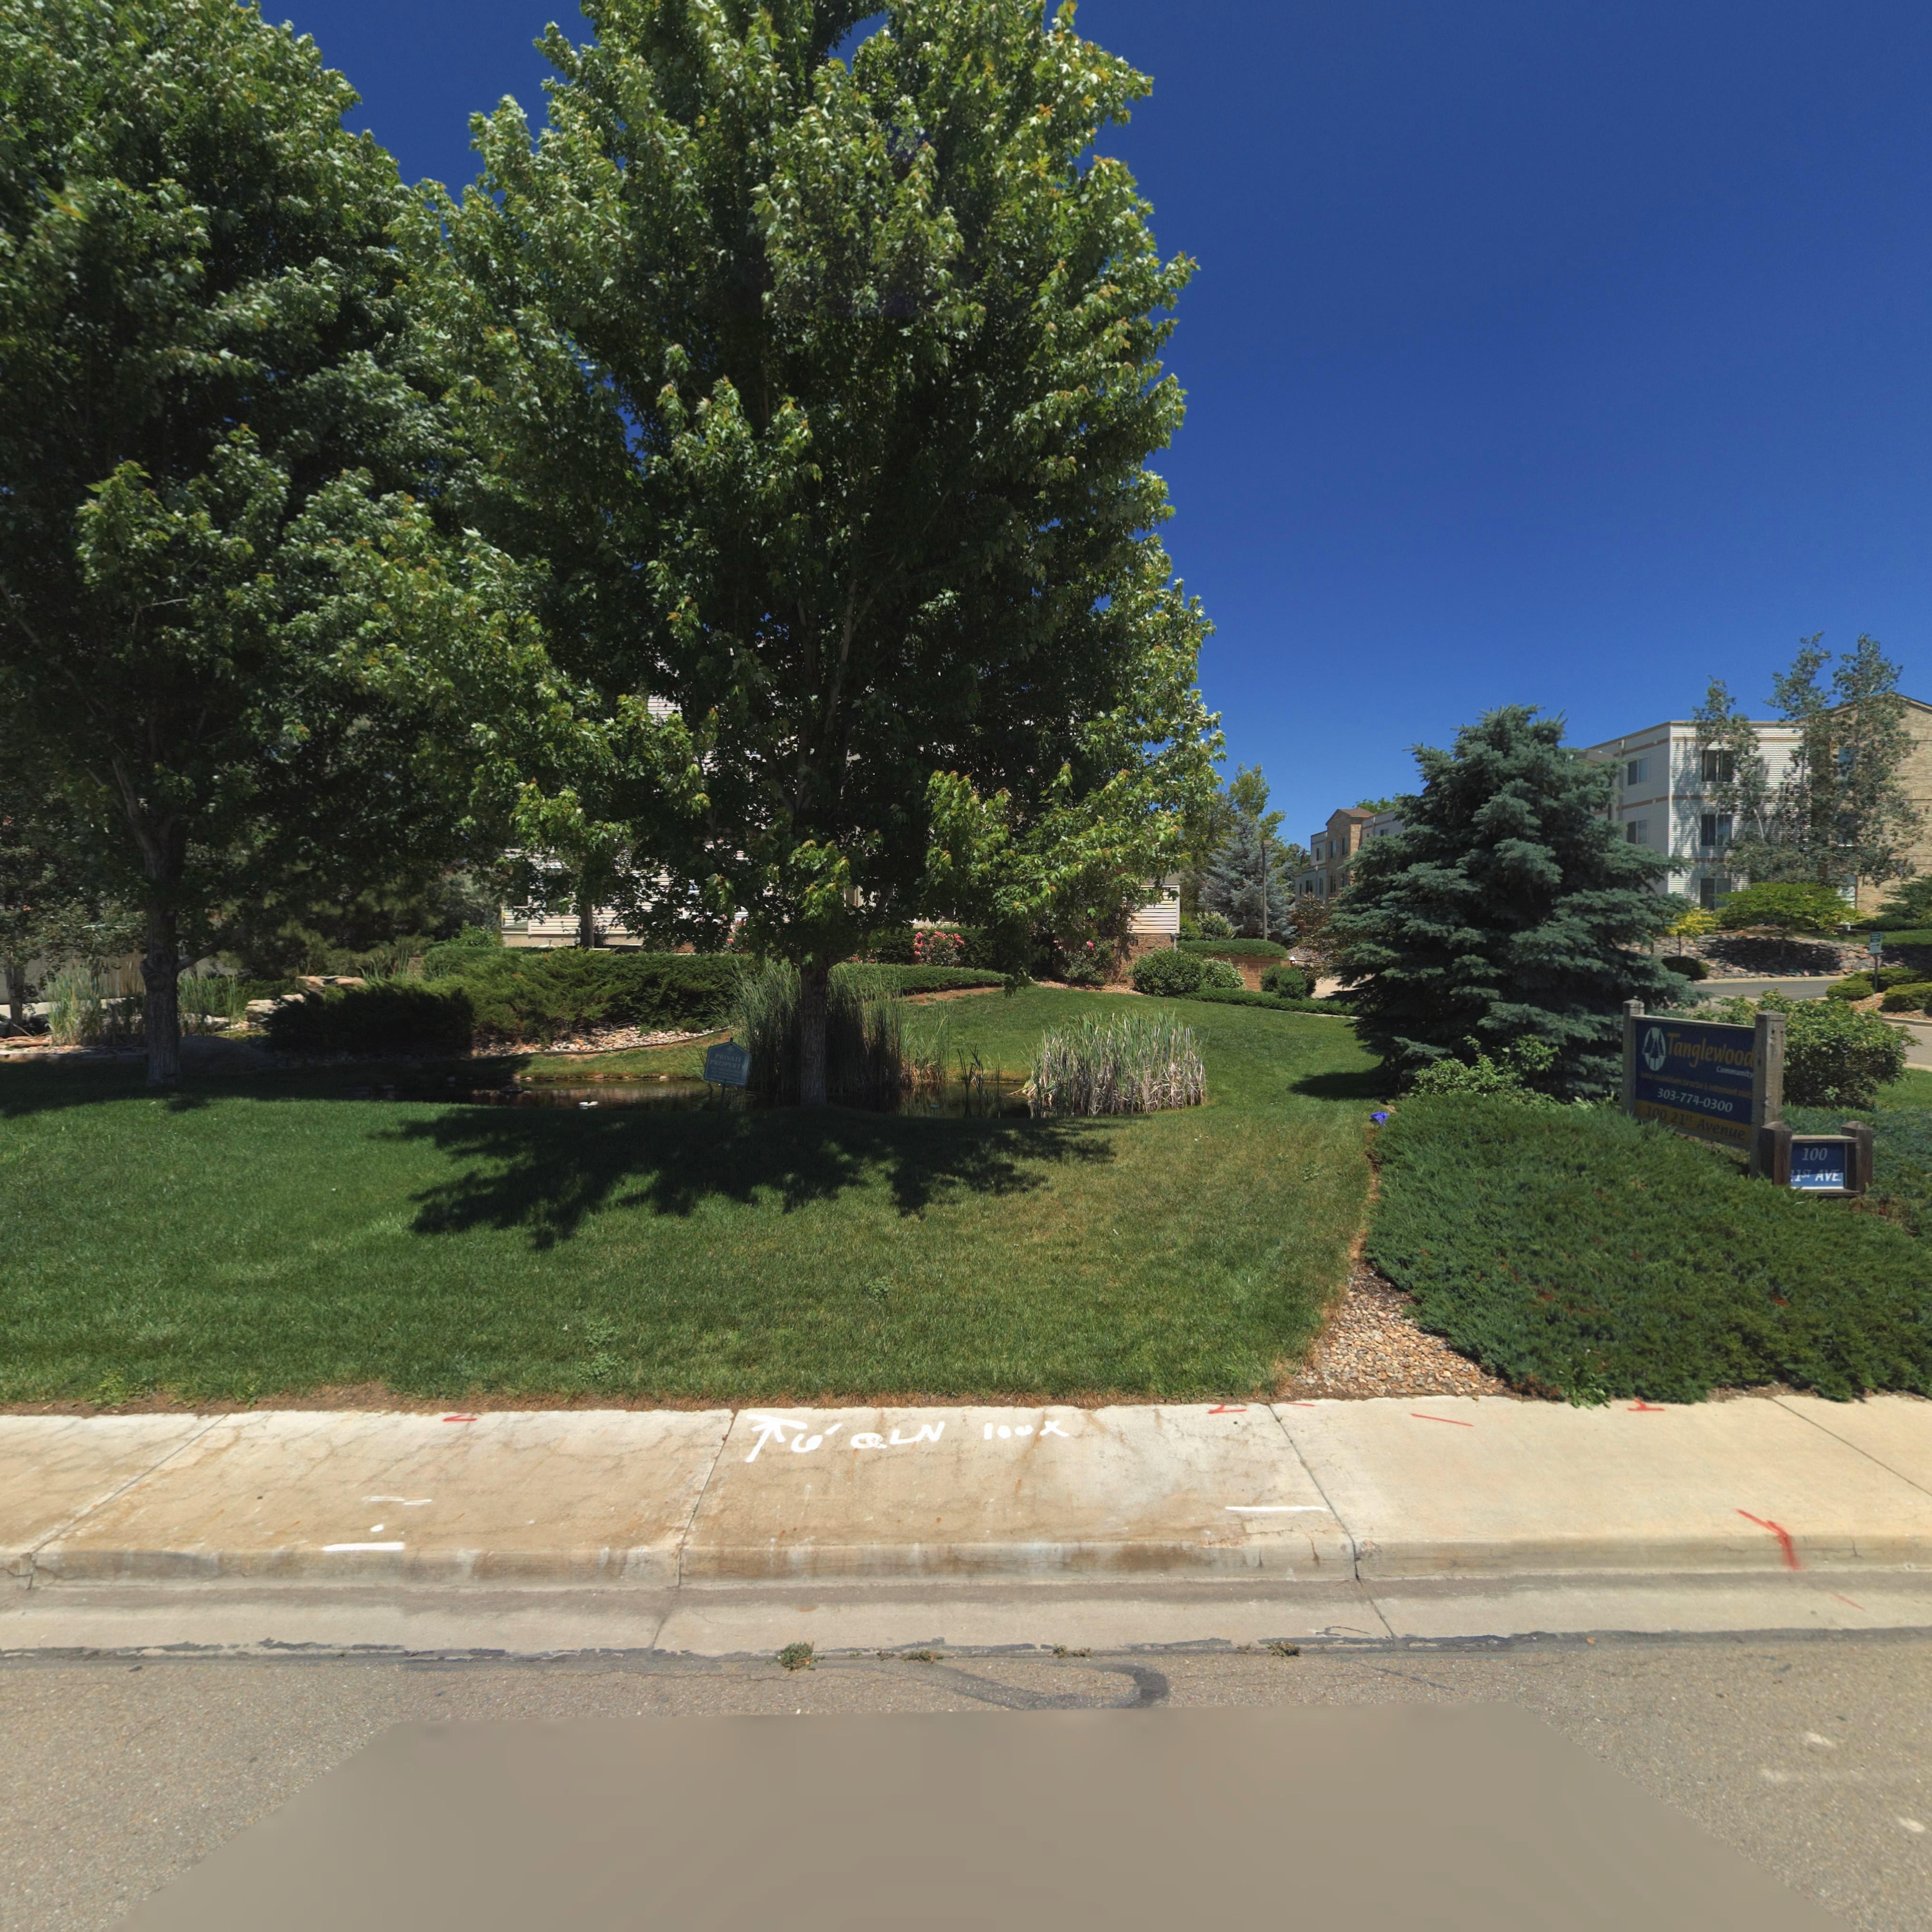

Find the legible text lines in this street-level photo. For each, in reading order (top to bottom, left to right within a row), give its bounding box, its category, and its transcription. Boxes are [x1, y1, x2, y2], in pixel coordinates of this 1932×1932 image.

[1645, 1105, 1667, 1121] StreetNumber: 100
[1670, 1111, 1746, 1141] StreetName: 21st Avenue
[1802, 1147, 1829, 1161] StreetNumber: 100
[1794, 1168, 1840, 1182] StreetName: 1ST AVE